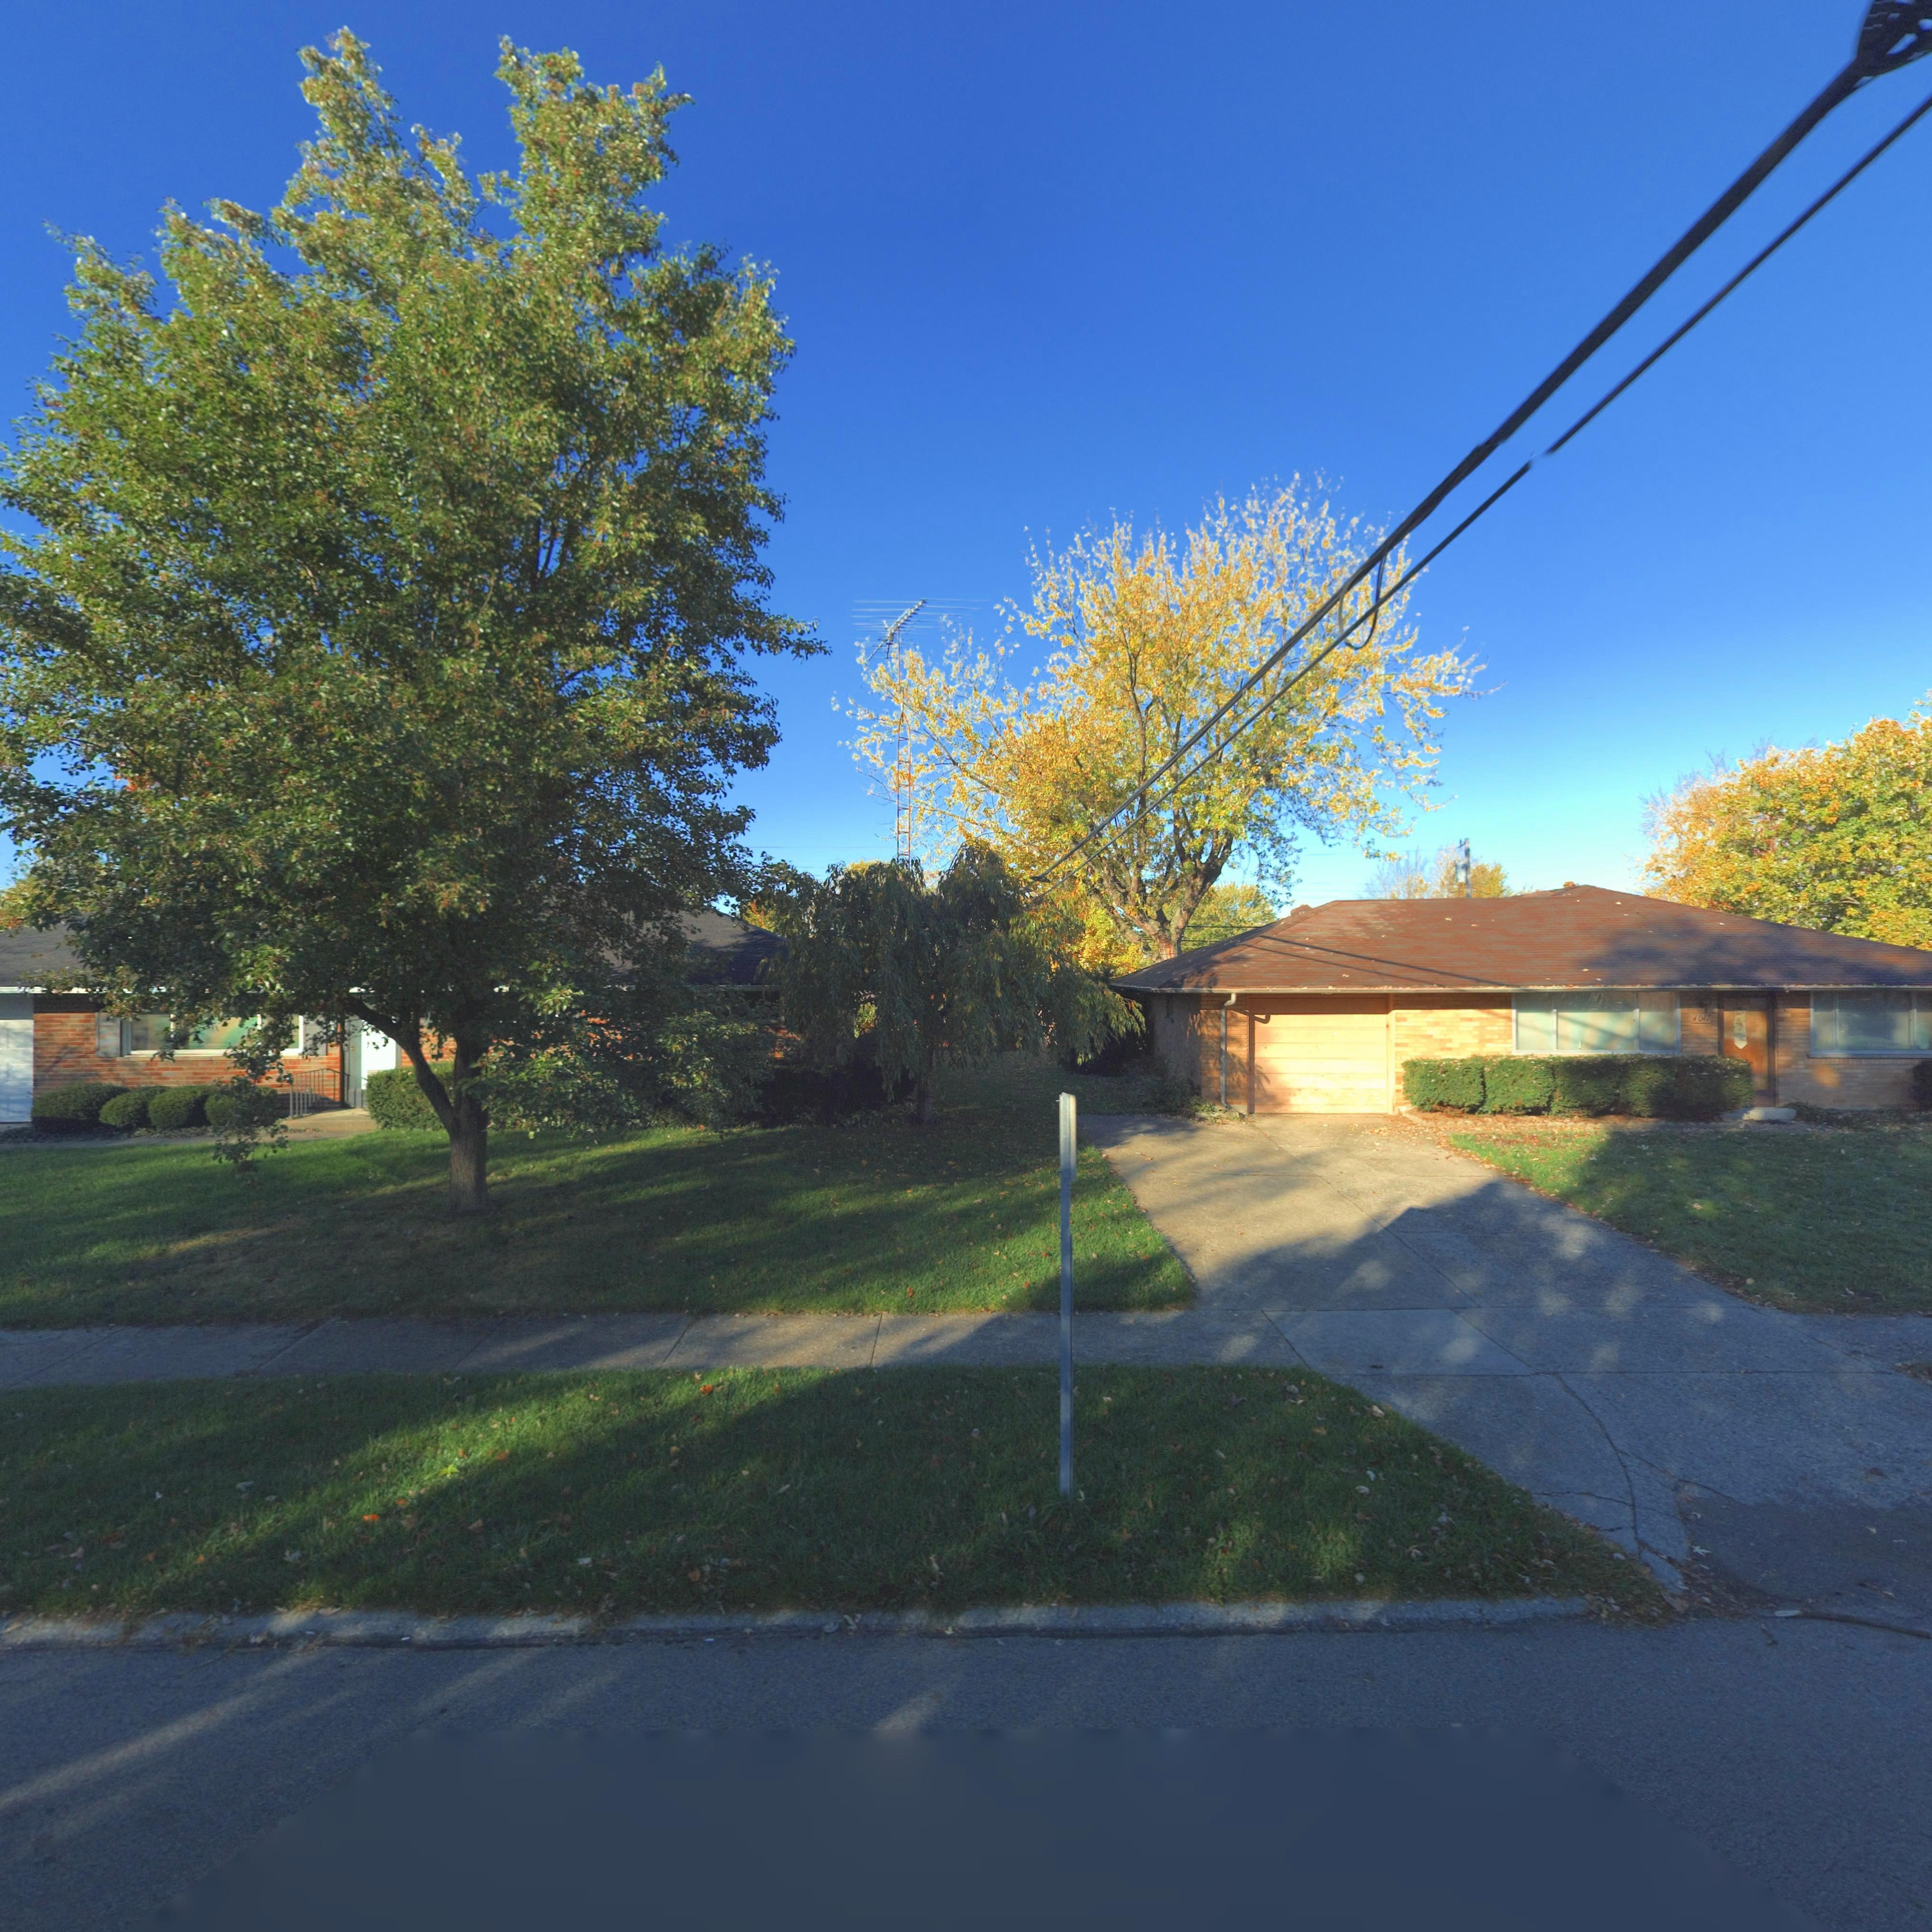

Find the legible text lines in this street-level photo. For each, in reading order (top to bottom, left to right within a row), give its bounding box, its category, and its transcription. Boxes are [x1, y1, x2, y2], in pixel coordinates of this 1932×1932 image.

[1692, 1014, 1710, 1022] StreetNumber: 4047